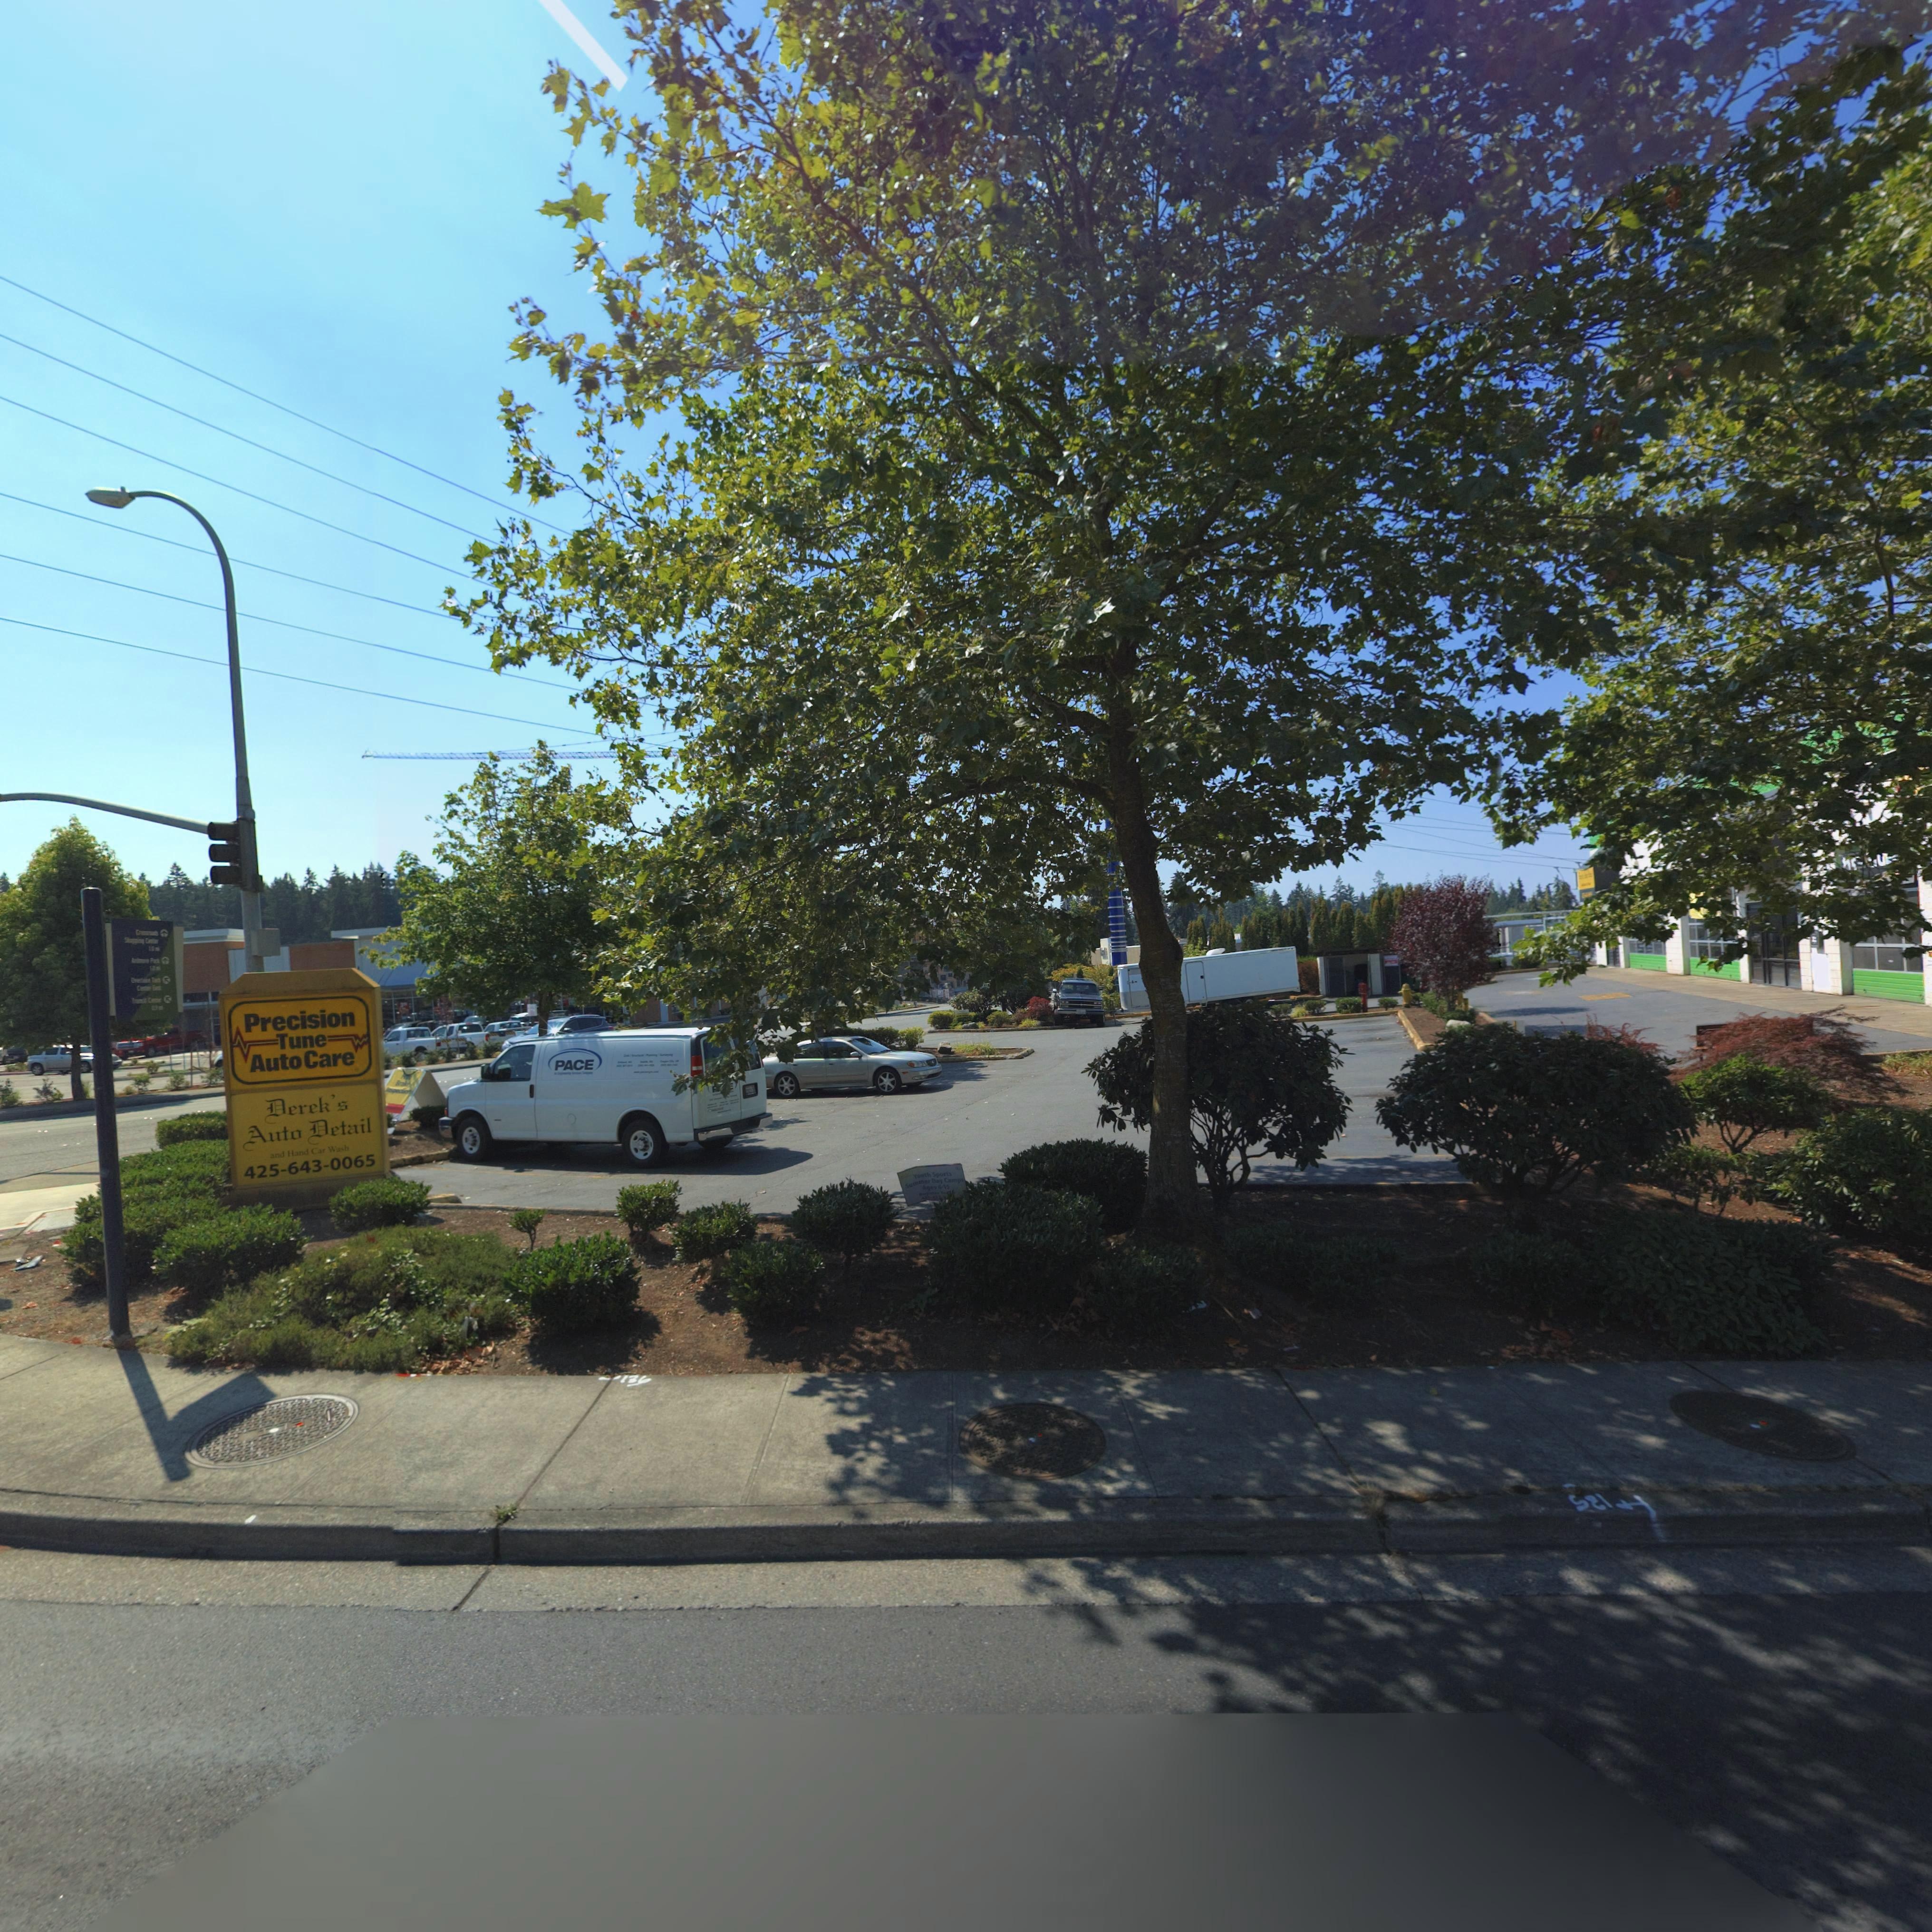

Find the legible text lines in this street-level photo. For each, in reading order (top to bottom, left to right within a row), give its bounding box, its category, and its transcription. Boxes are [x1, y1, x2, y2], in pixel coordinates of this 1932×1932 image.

[275, 1031, 328, 1050] BusinessName: Tune
[554, 1059, 595, 1071] SecondaryUnitDesignator: PACE
[263, 1092, 351, 1124] BusinessName: Derek's
[241, 1115, 373, 1151] BusinessName: Auto Detail
[269, 1144, 349, 1159] SecondaryUnitDesignator: and Hand Car Wash
[243, 1154, 376, 1179] PhoneNumber: 425-643-0065